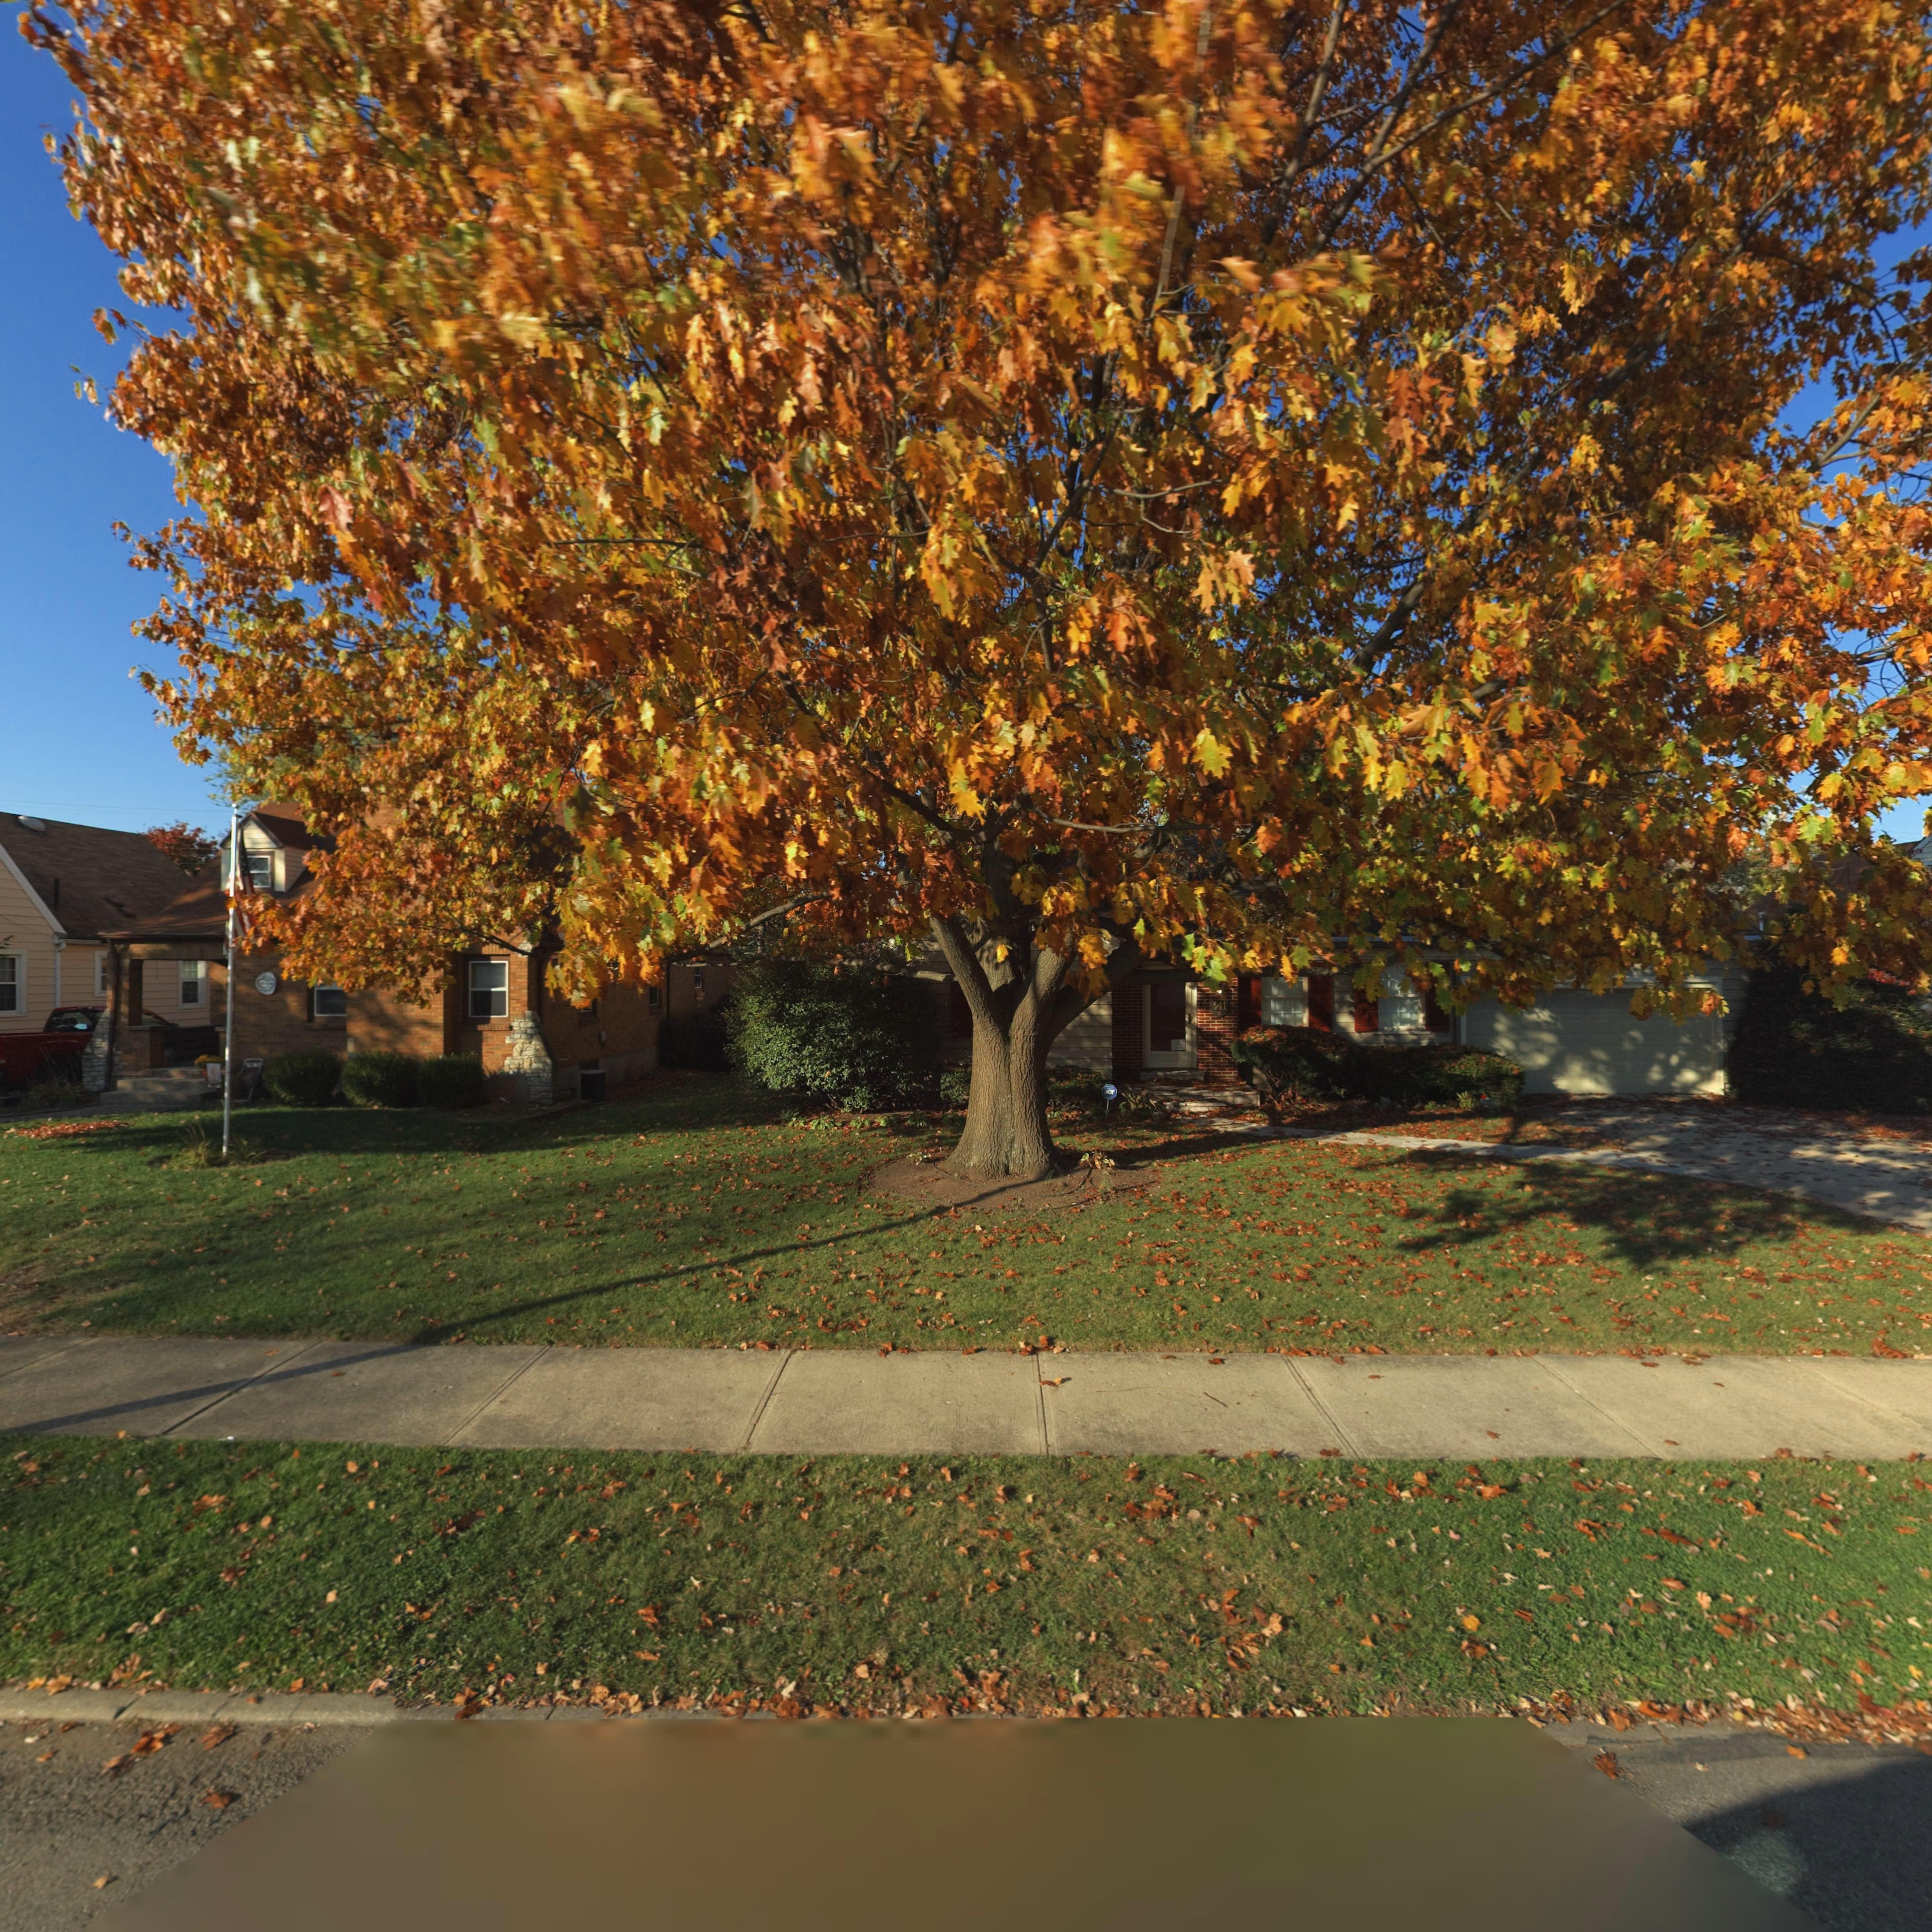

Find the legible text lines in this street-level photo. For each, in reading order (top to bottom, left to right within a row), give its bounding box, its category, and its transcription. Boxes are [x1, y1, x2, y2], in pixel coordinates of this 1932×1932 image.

[1211, 1001, 1227, 1011] StreetNumber: 341